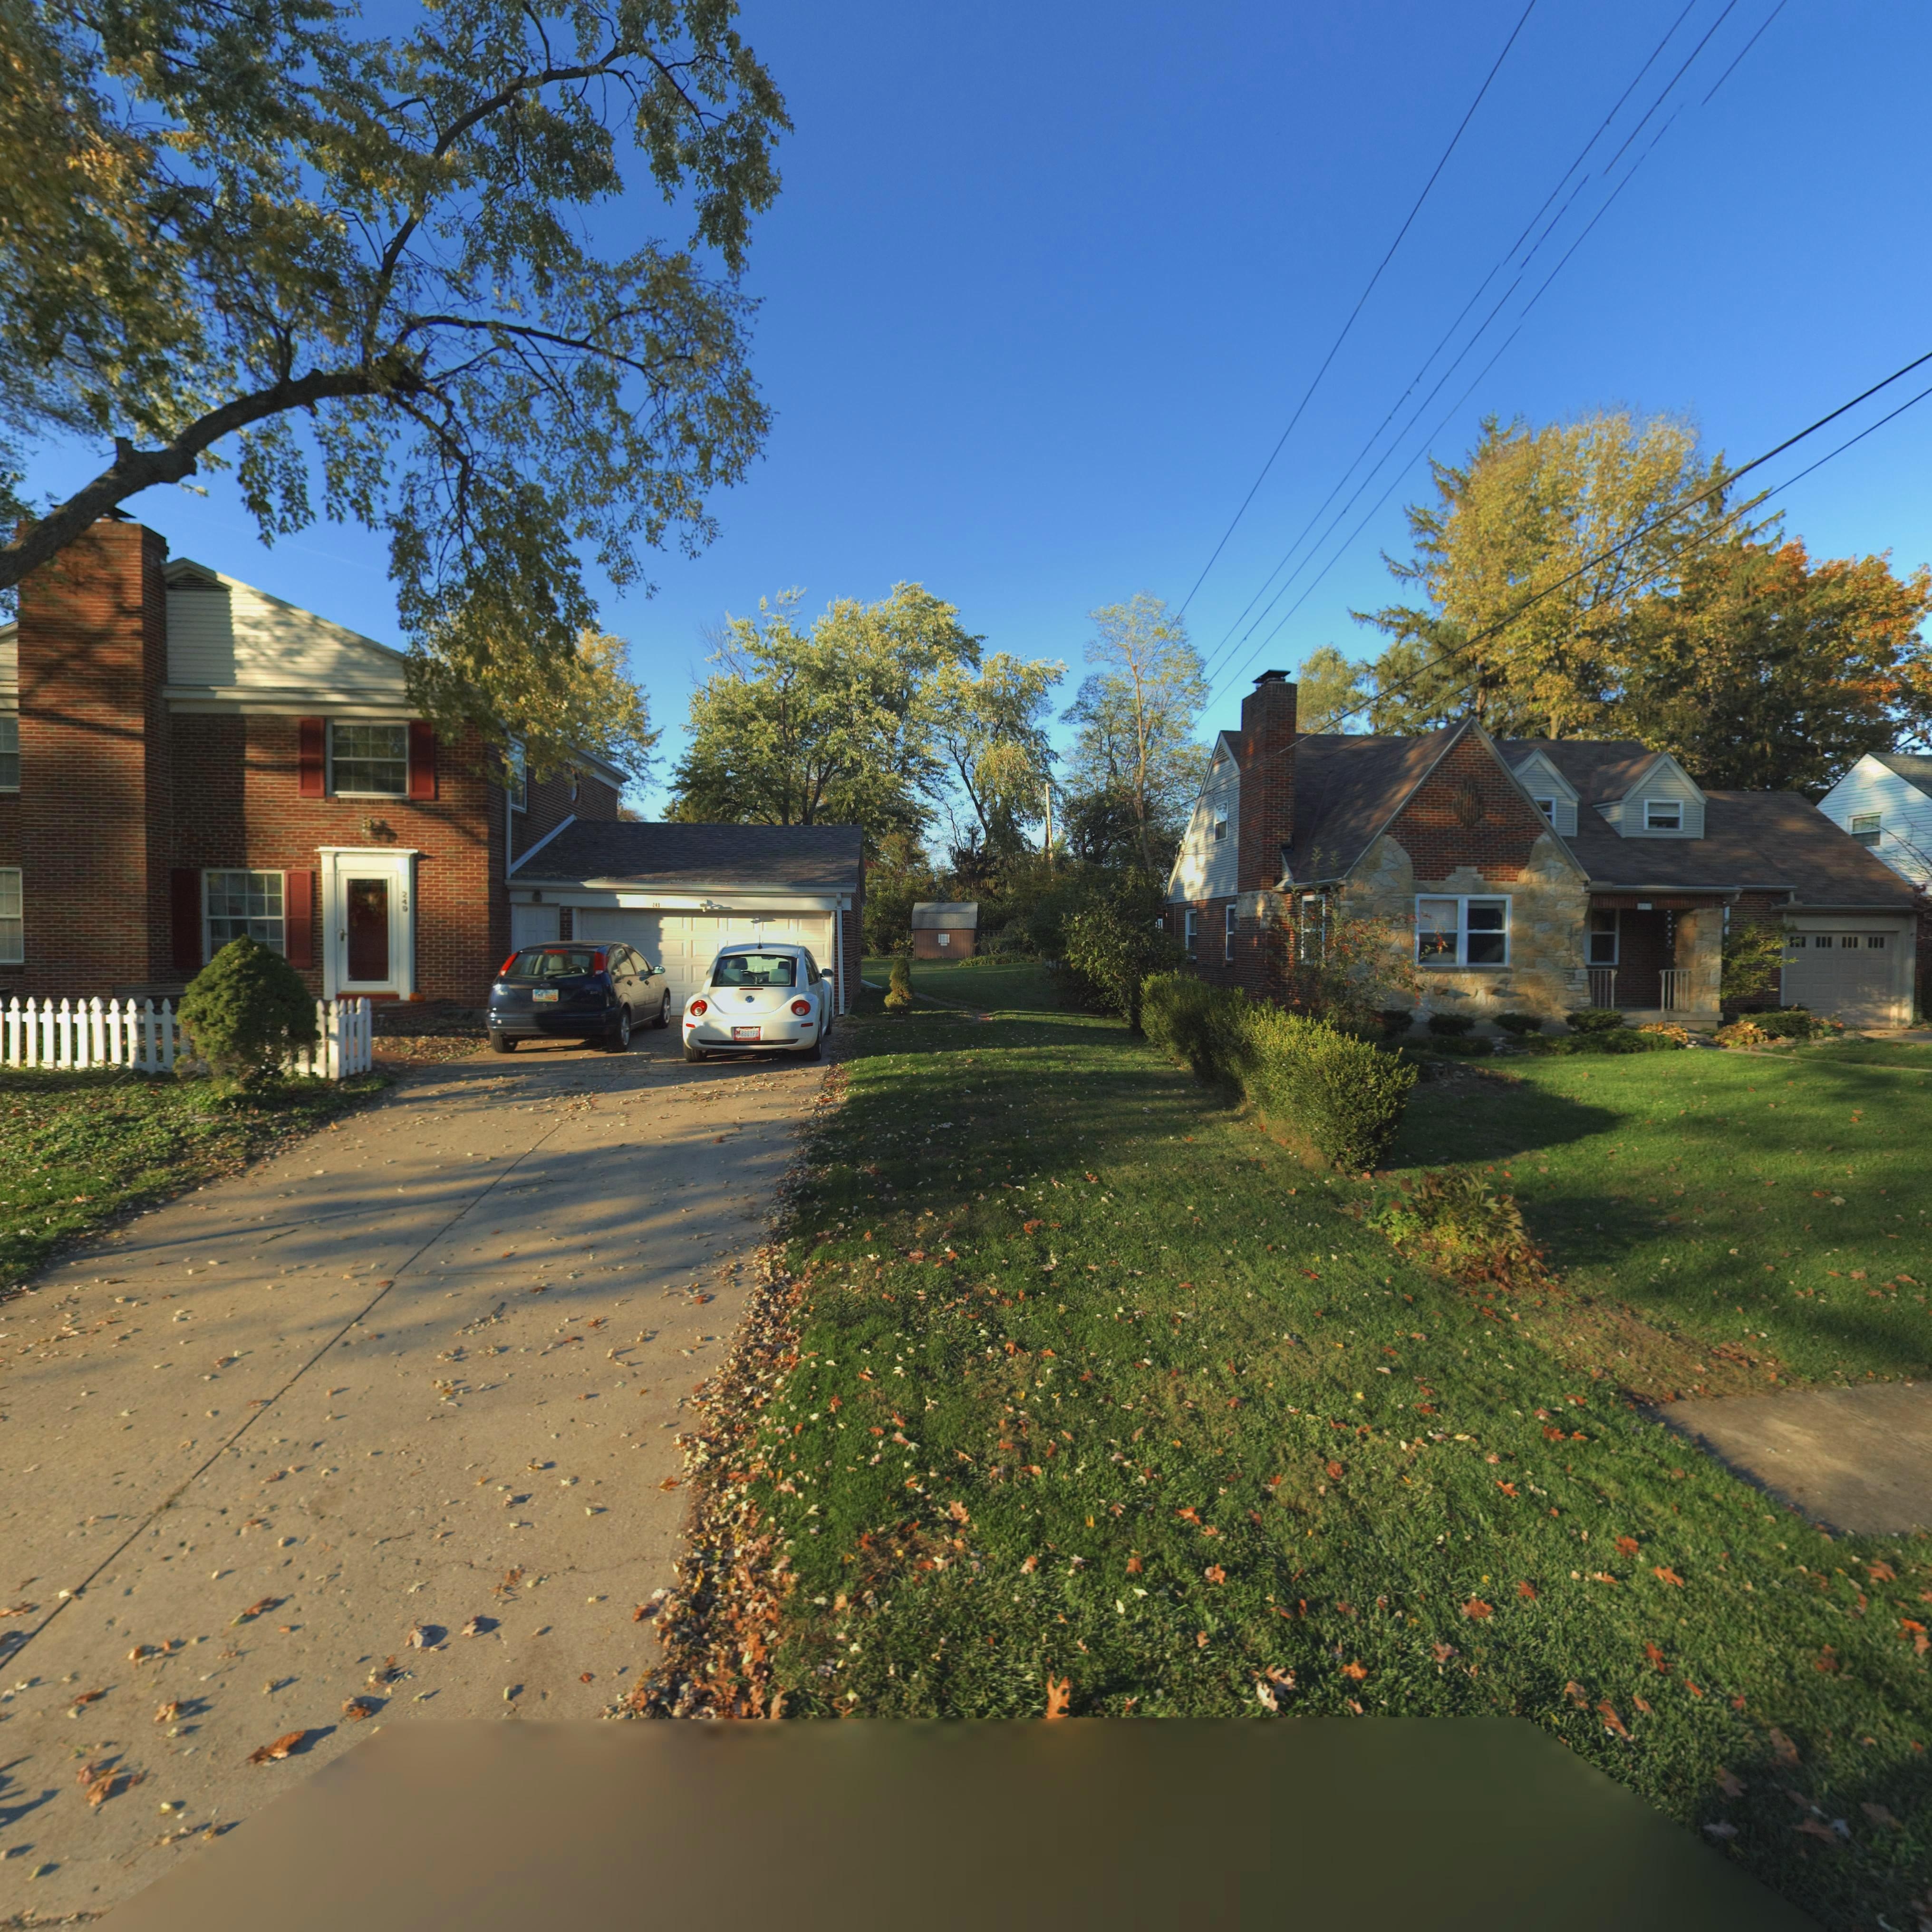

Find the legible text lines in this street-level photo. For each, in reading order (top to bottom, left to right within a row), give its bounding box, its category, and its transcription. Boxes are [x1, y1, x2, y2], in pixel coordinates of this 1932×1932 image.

[401, 890, 408, 913] StreetNumber: 249
[652, 902, 660, 908] StreetNumber: 249
[1638, 904, 1651, 909] StreetNumber: 2**